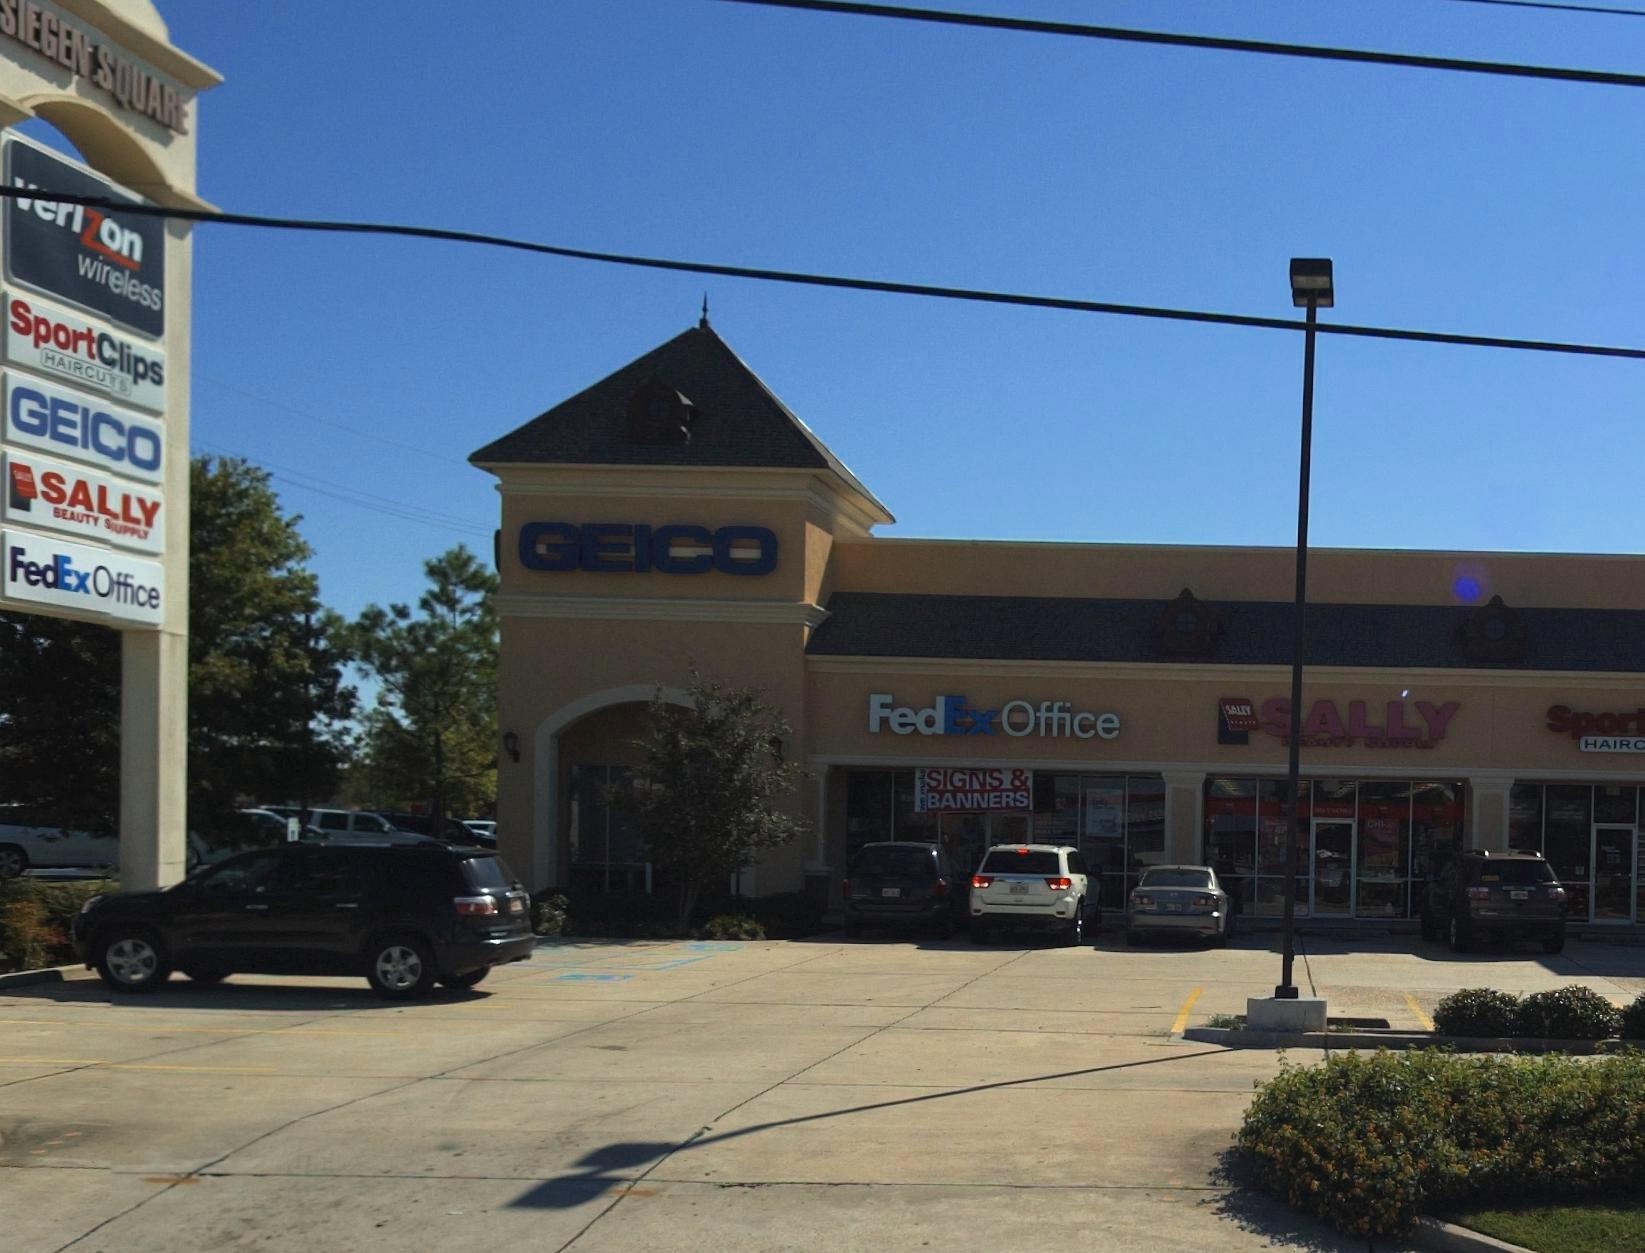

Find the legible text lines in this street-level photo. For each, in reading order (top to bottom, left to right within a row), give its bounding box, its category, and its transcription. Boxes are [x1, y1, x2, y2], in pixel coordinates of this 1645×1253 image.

[24, 0, 192, 141] None: EGEN SQUARE
[70, 195, 147, 278] BusinessName: zon
[74, 246, 165, 316] BusinessName: wi**less
[8, 292, 167, 390] BusinessName: Sport *lips
[43, 348, 130, 396] None: HAIRCU*S
[7, 373, 165, 480] BusinessName: GEICO
[51, 503, 151, 544] BusinessName: BEAUTY S*PPLY
[36, 464, 168, 534] BusinessName: SALLY
[516, 517, 782, 579] BusinessName: GEICO
[7, 541, 163, 614] BusinessName: FedEx Office
[865, 689, 1124, 742] BusinessName: FedEx Office
[1221, 703, 1256, 718] BusinessName: SALLY
[1278, 734, 1441, 752] BusinessName: **AUTY SUPPLY
[1257, 694, 1467, 743] BusinessName: *ALLY
[1543, 701, 1641, 743] BusinessName: Spor
[1581, 737, 1634, 752] None: HAIR
[925, 766, 1006, 791] None: SIGNS
[926, 789, 1030, 810] None: BANNERS